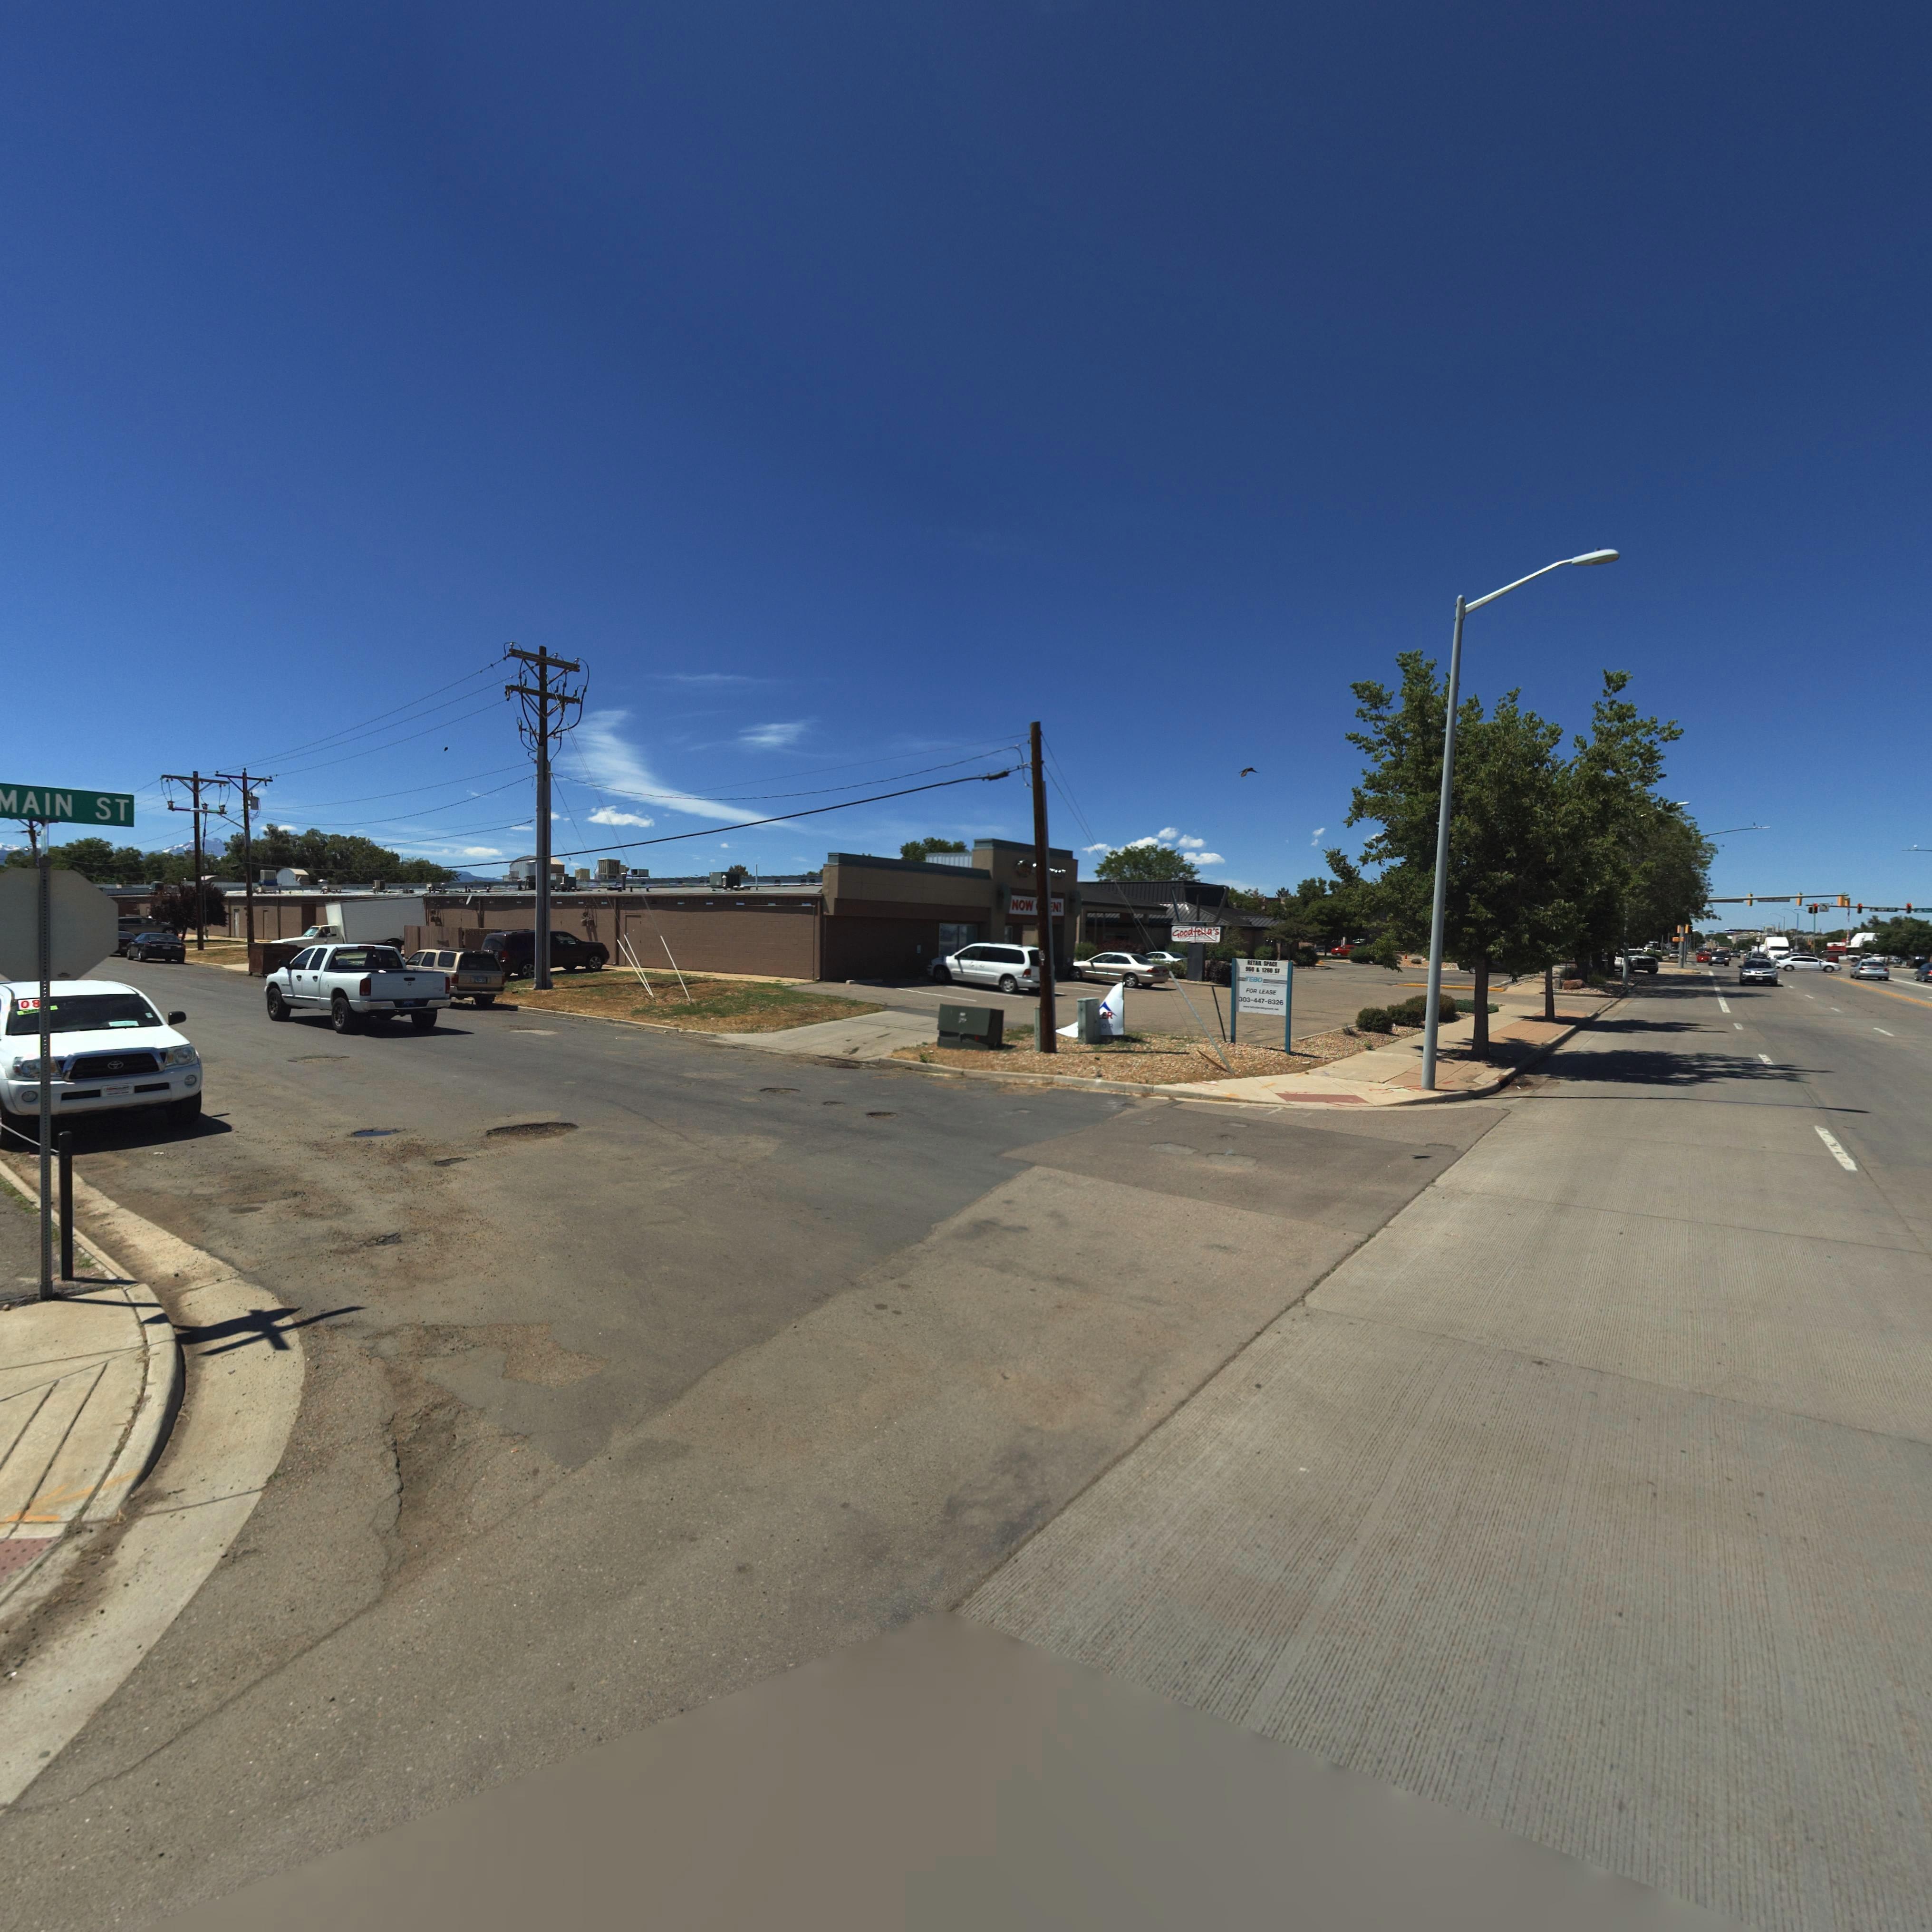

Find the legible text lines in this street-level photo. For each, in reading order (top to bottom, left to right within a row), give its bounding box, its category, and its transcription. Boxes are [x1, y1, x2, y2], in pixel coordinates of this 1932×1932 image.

[1, 787, 133, 824] StreetName: *AIN ST
[1172, 926, 1219, 938] BusinessName: Goodfella's